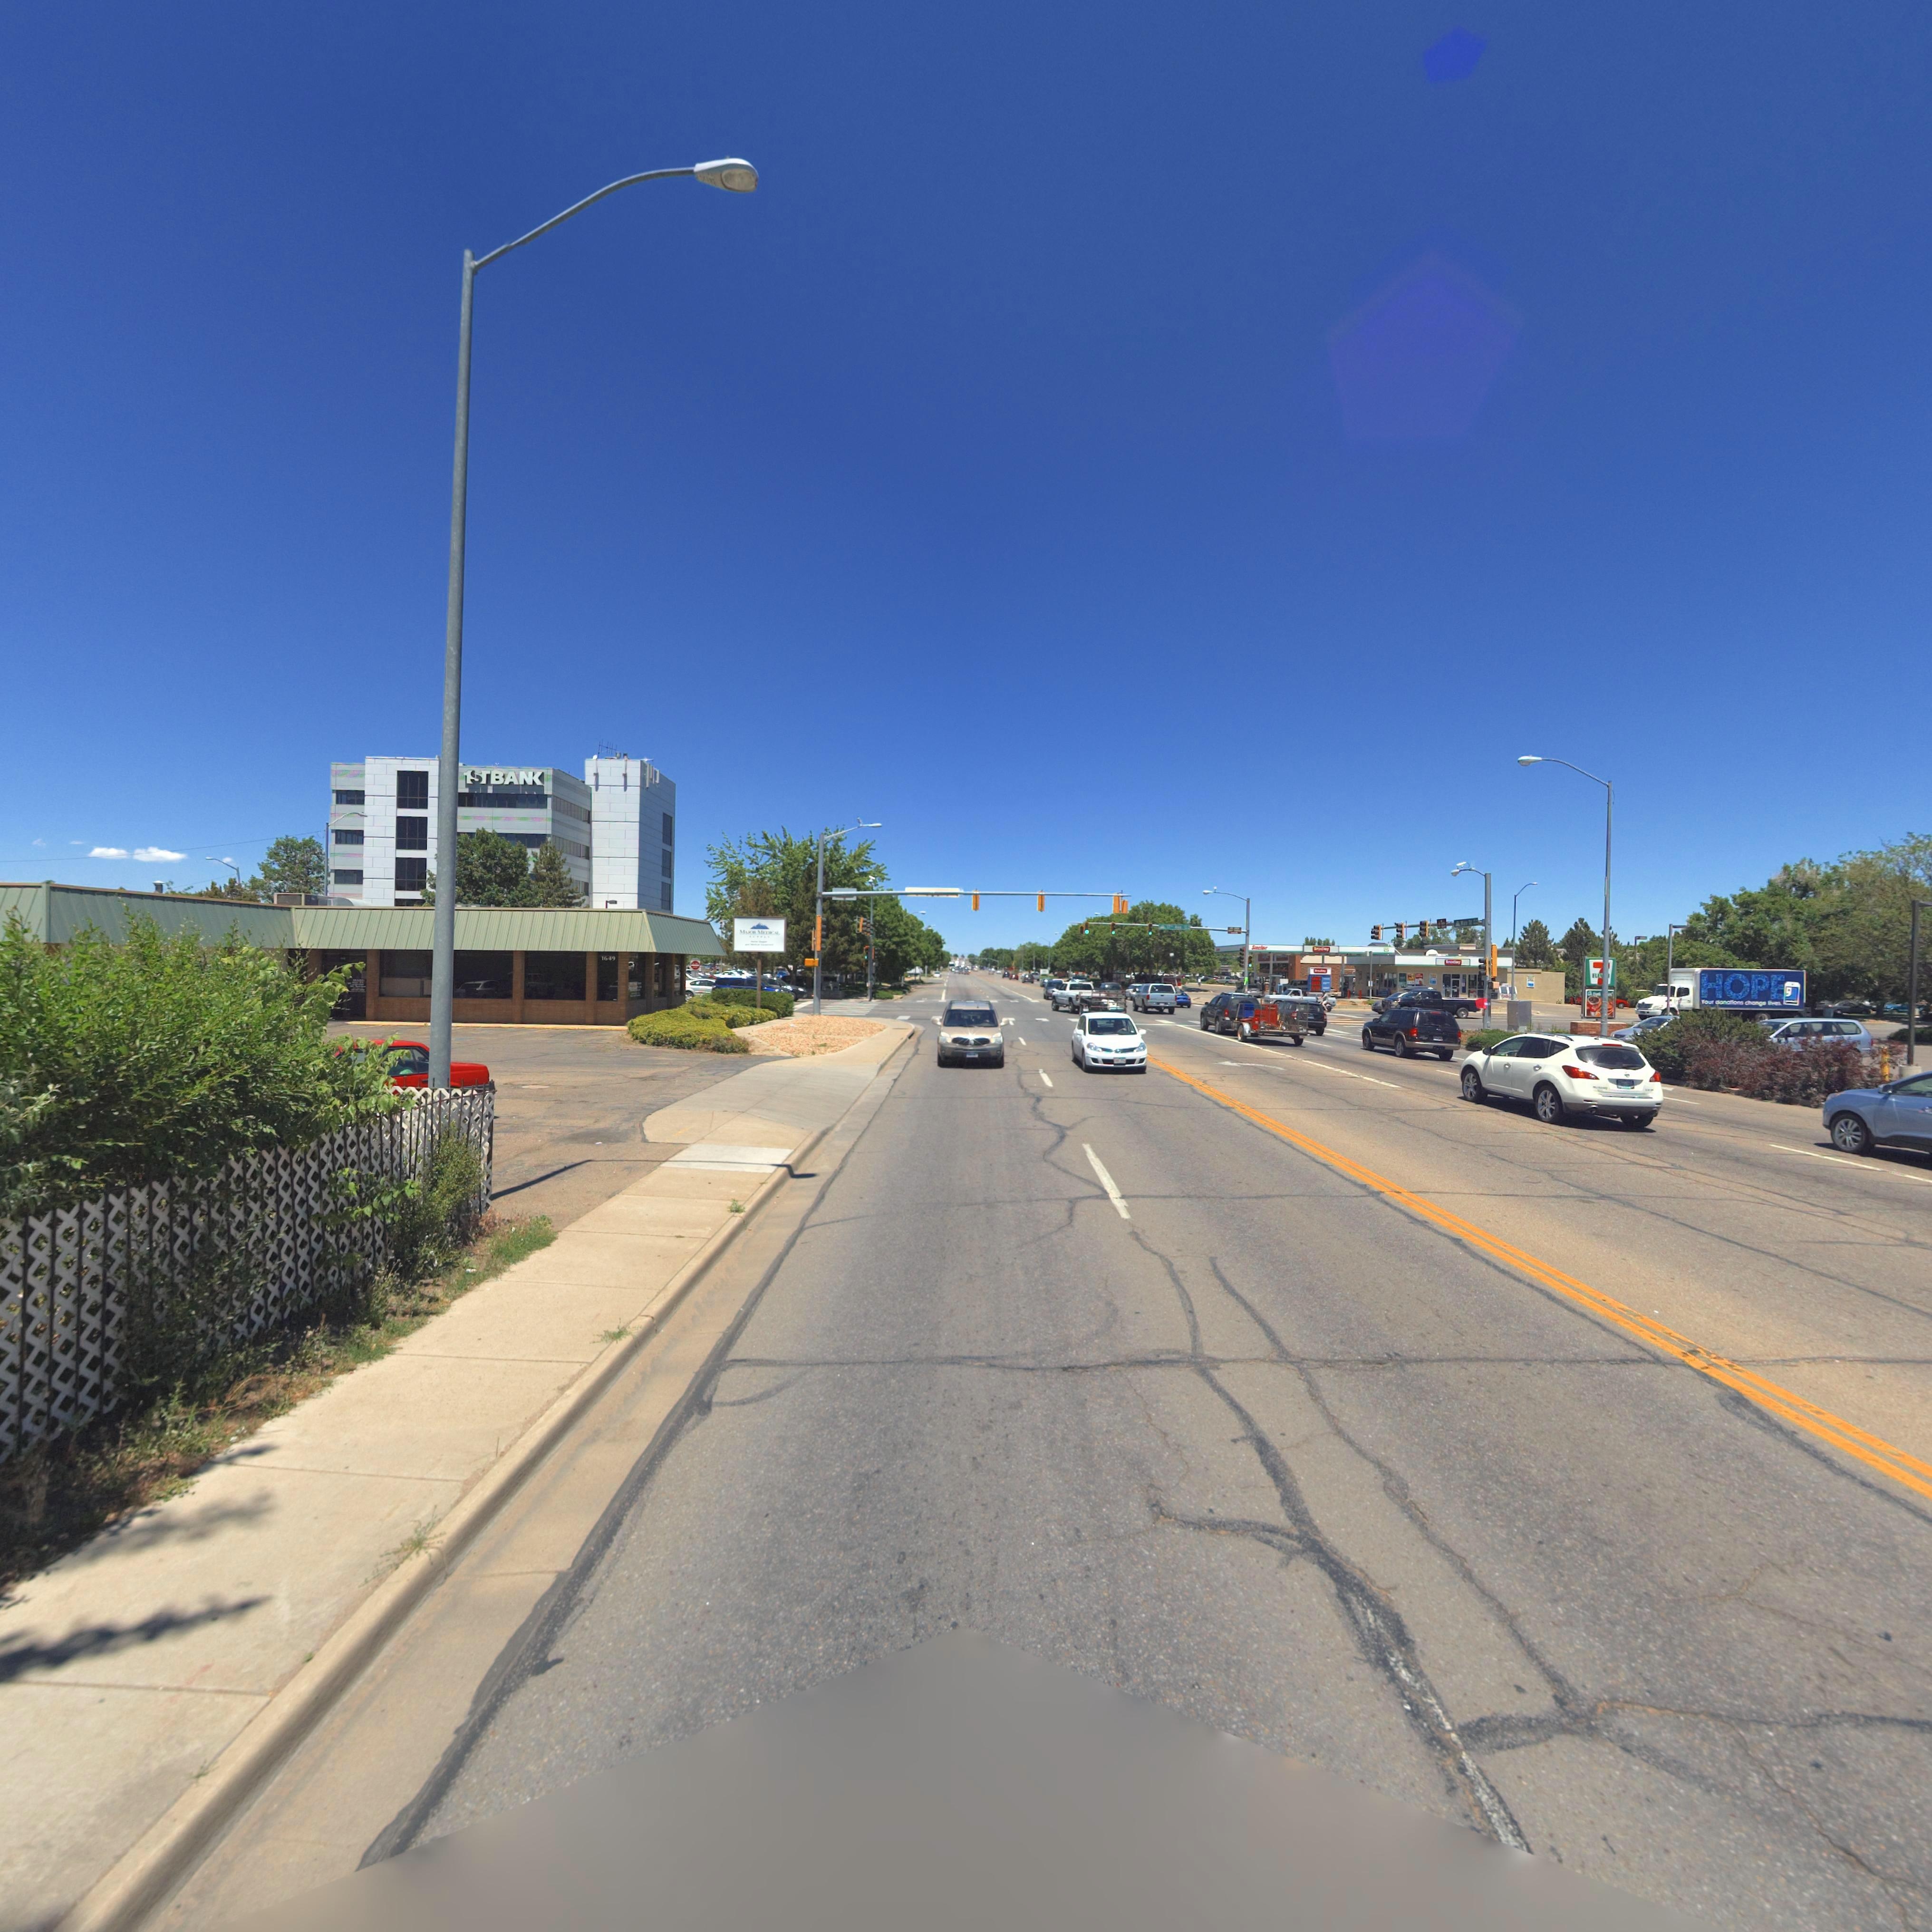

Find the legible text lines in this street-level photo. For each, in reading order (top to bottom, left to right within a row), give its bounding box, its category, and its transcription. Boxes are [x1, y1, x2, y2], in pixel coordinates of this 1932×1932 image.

[463, 769, 543, 785] BusinessName: 1ST BAN*
[1167, 925, 1181, 929] StreetName: ** Ave
[739, 928, 780, 935] BusinessName: MOOR MEDICAL
[748, 935, 770, 938] BusinessName: SUPPLY
[1251, 945, 1267, 950] BusinessName: Sinclair
[1314, 947, 1329, 951] BusinessName: Bradley
[600, 956, 616, 961] StreetNumber: 1649
[1446, 959, 1461, 964] BusinessName: Bra**ey
[1314, 969, 1326, 973] BusinessName: Bradley
[1592, 972, 1609, 978] BusinessName: ELEV**